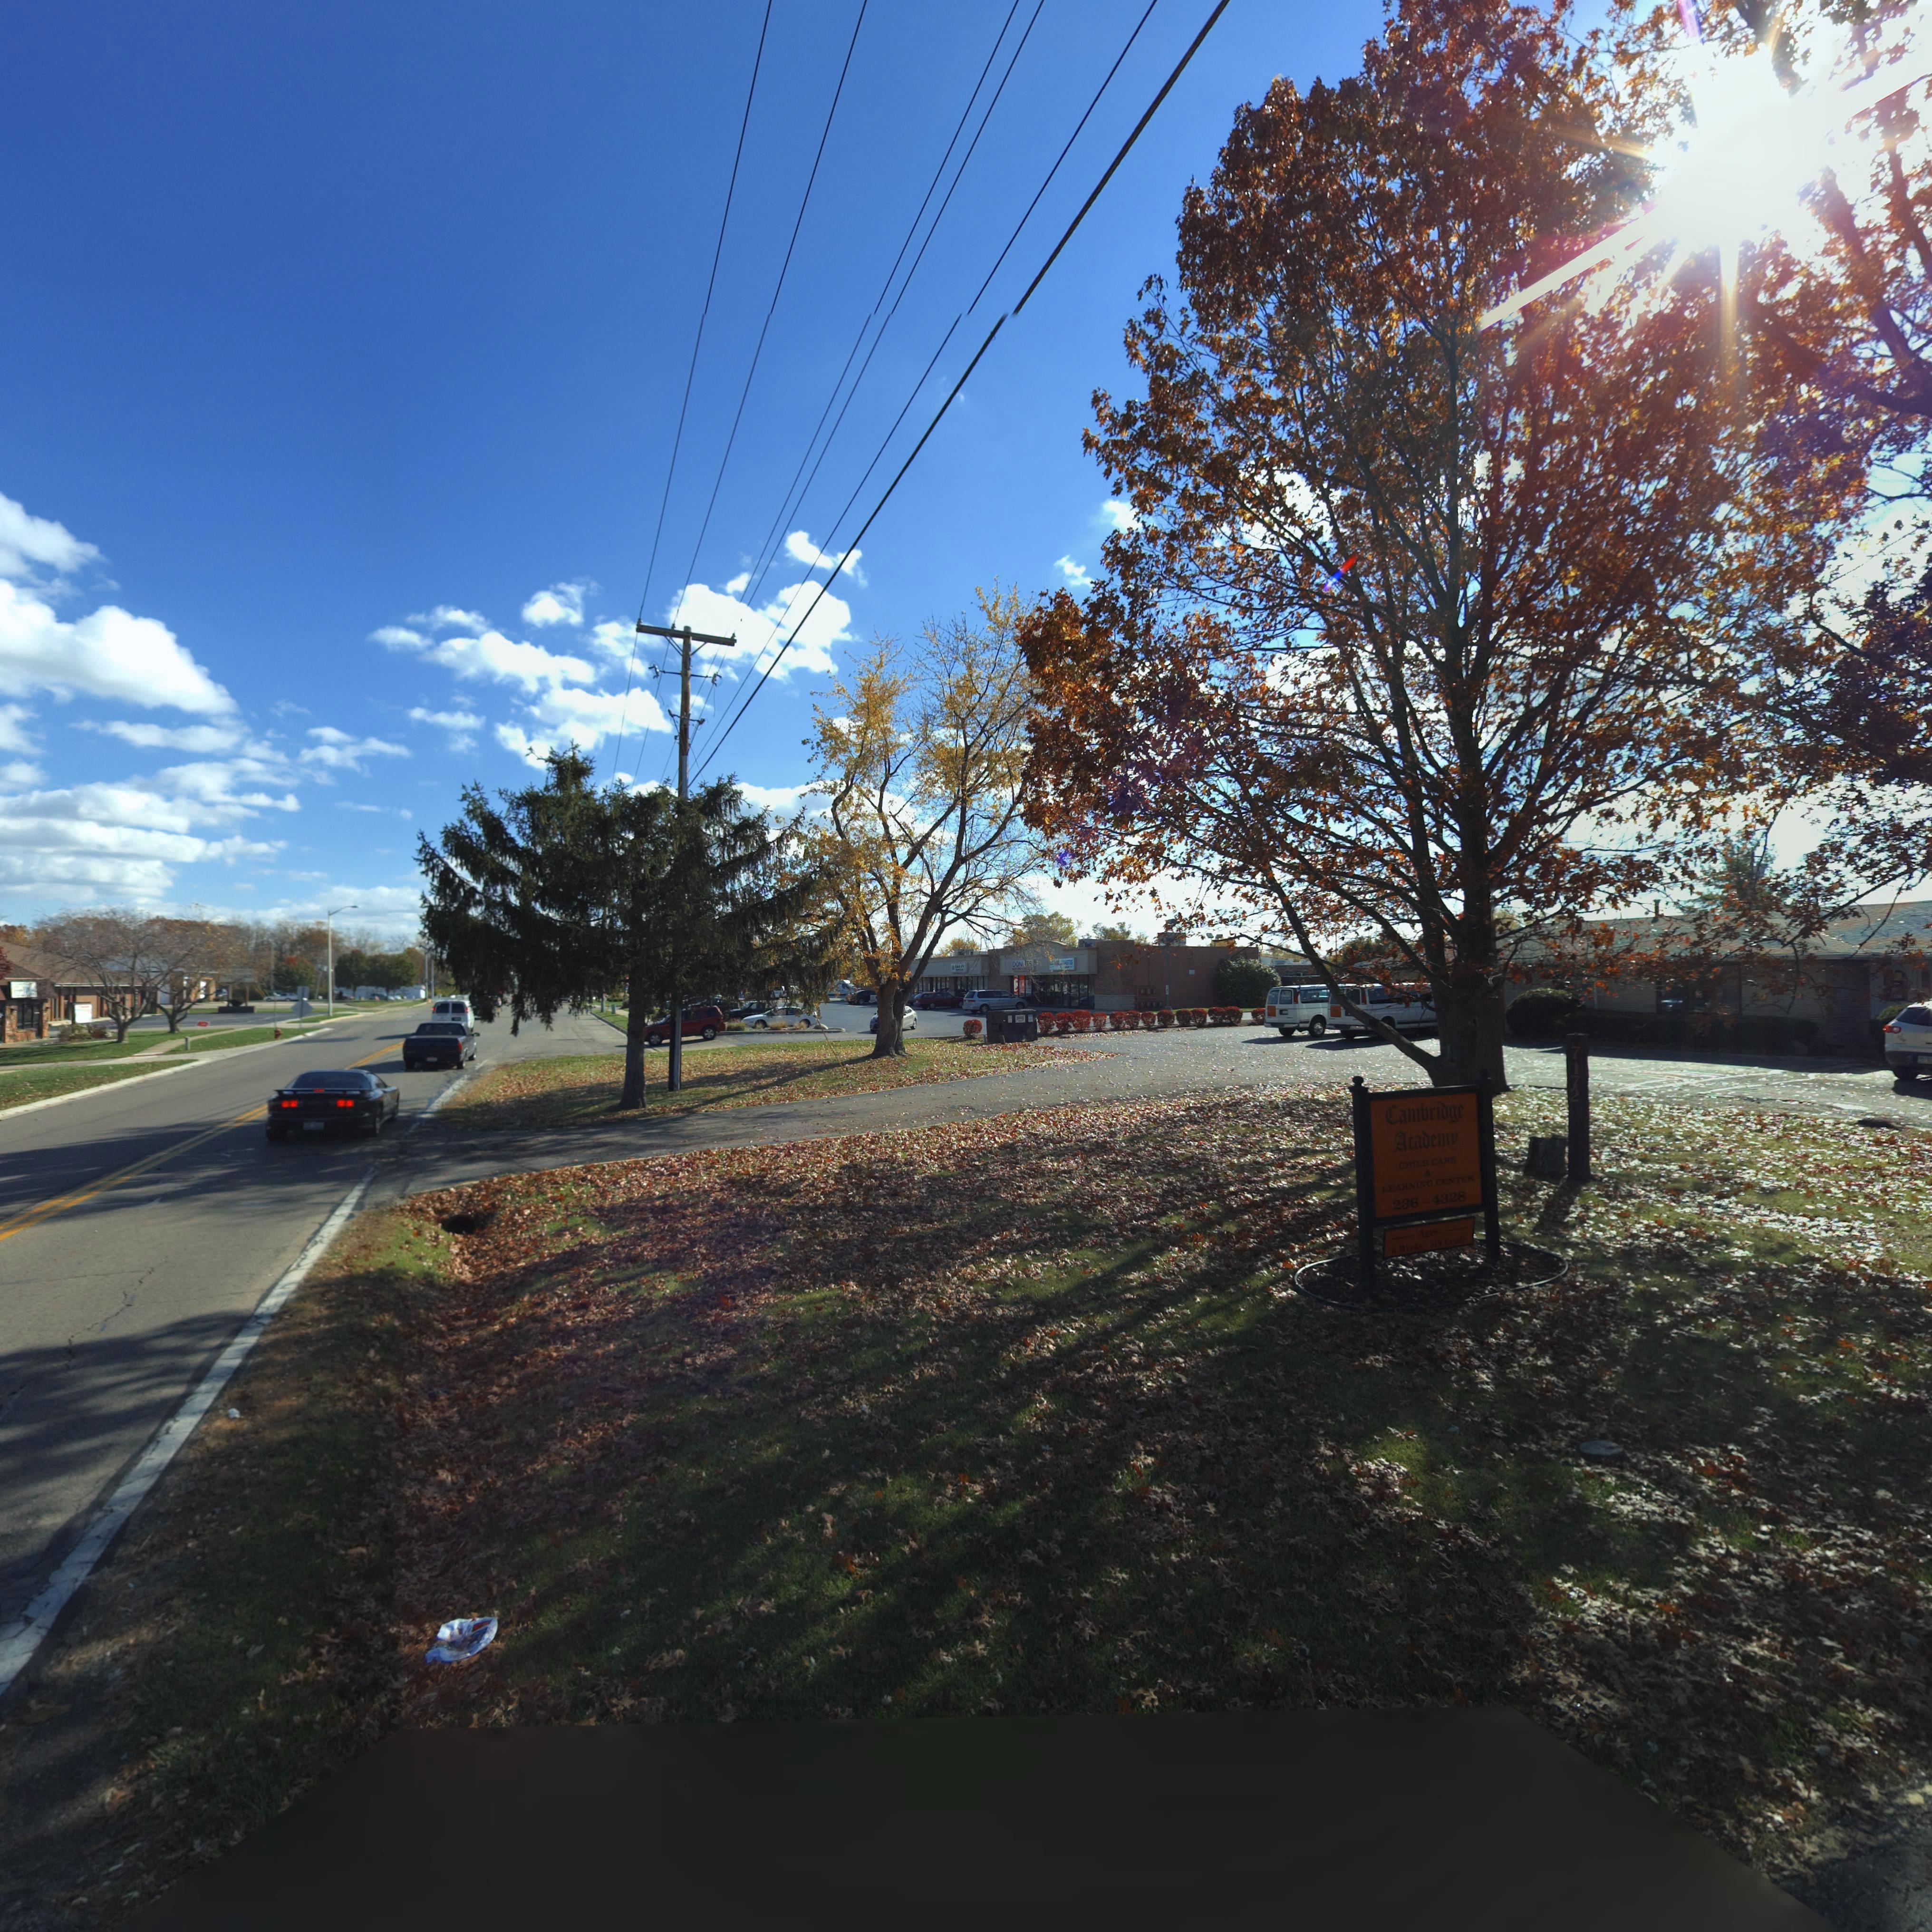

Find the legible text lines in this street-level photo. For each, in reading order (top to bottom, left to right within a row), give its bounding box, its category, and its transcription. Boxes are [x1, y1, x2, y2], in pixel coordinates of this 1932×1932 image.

[1569, 1044, 1582, 1103] StreetNumber: 7172